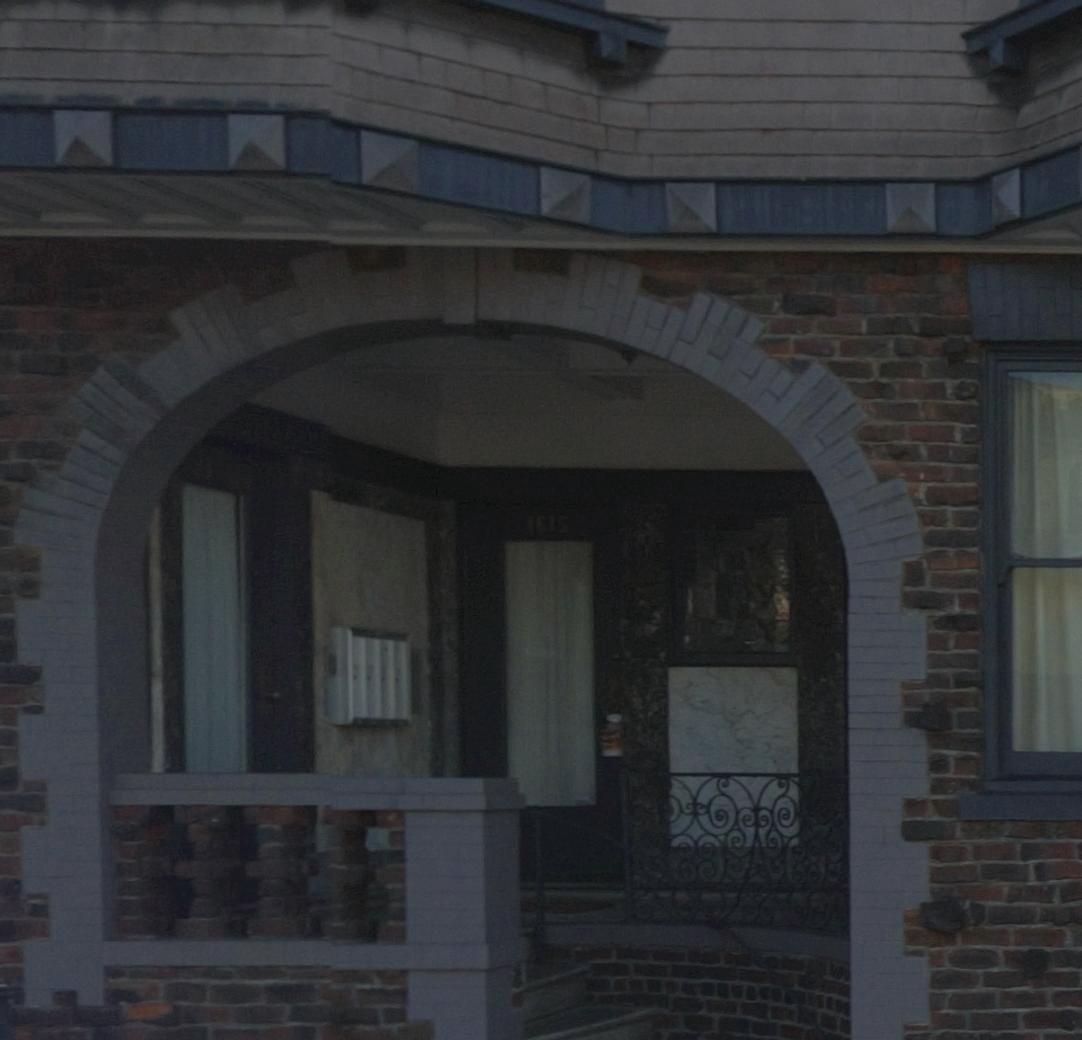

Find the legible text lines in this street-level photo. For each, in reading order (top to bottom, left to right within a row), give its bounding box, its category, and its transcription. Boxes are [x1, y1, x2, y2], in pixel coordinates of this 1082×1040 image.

[523, 512, 572, 536] StreetNumber: 4615